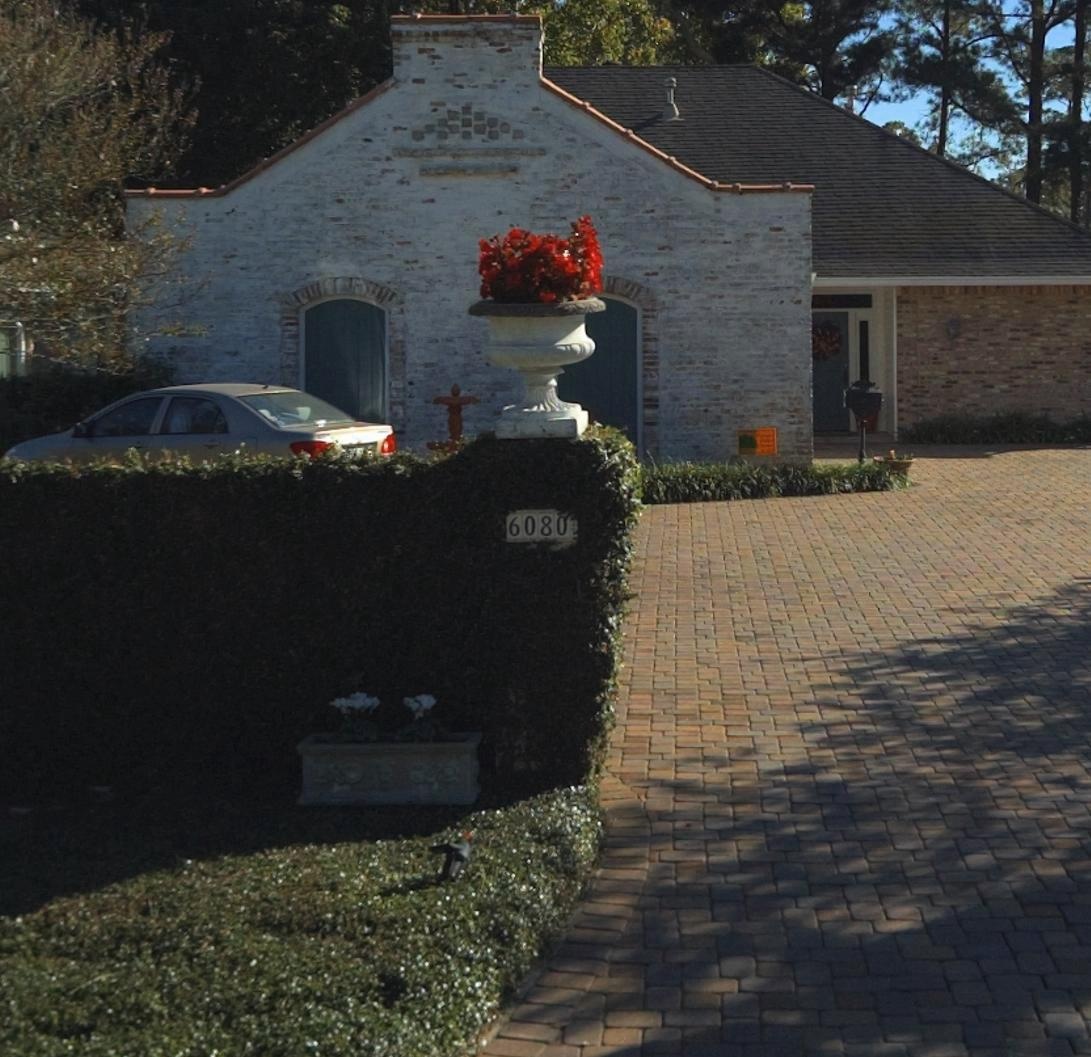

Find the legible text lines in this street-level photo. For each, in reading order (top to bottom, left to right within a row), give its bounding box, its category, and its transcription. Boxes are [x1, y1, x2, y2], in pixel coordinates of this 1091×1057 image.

[507, 514, 569, 538] StreetNumber: 6080